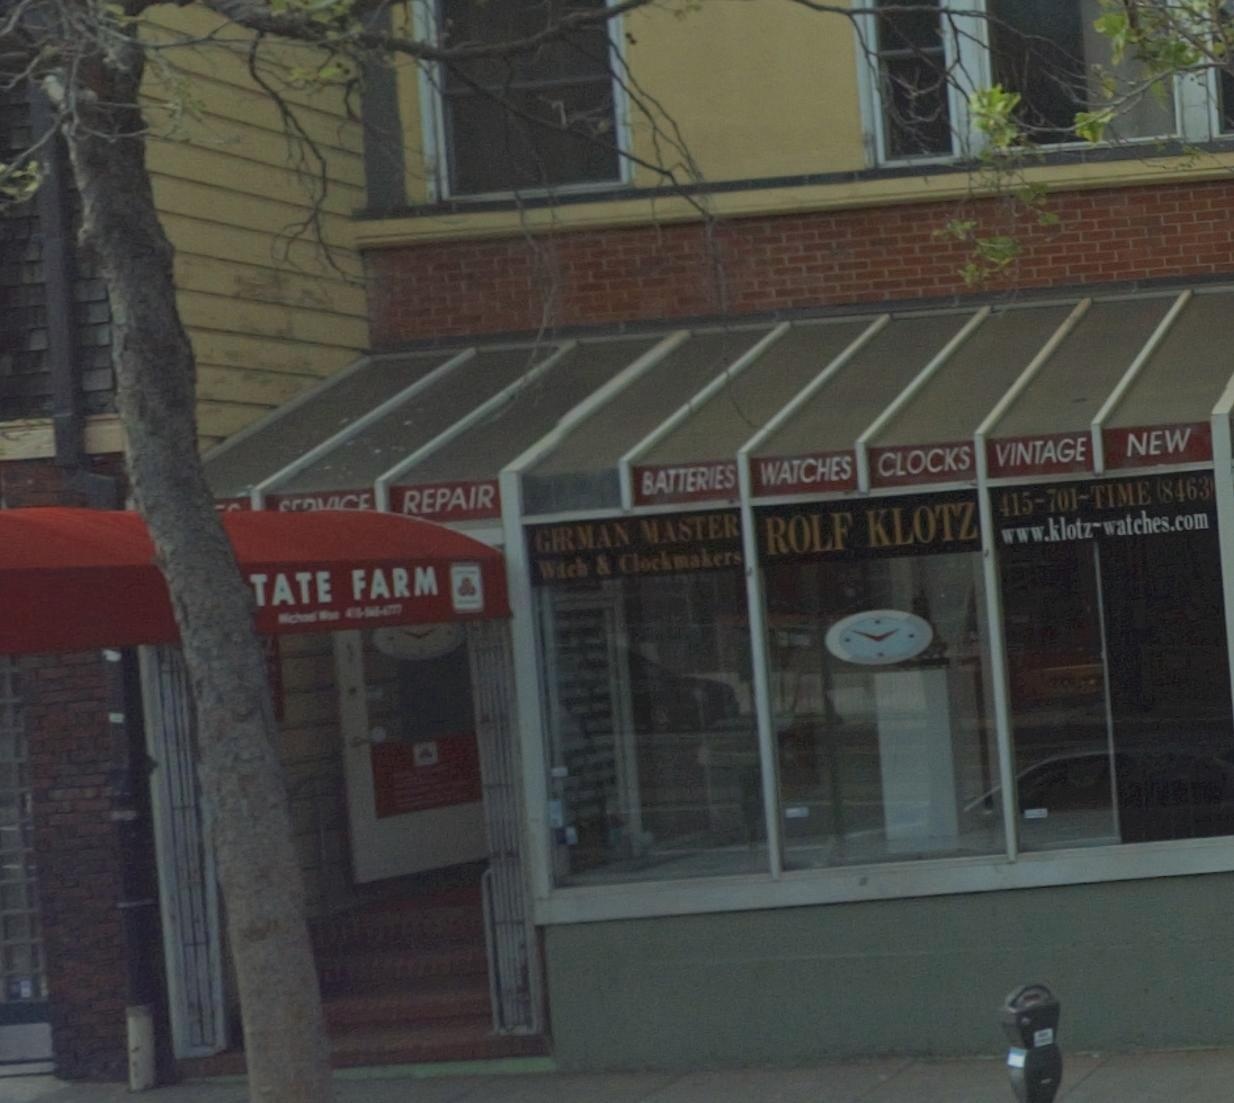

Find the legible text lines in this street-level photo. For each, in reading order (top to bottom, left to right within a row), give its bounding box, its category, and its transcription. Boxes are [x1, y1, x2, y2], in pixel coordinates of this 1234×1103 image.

[400, 481, 498, 517] None: REPAIR
[638, 461, 740, 500] None: BATTERIES
[756, 452, 856, 492] None: WATCHES
[874, 443, 974, 480] None: CLOCKS
[991, 434, 1090, 471] None: VINTAGE
[995, 471, 1216, 521] None: 415-701-TIME (8463)
[1123, 425, 1196, 460] None: NEW
[532, 510, 744, 557] None: GERMAN MASTER
[763, 495, 985, 561] BusinessName: ROLF KLOTZ
[993, 507, 1212, 550] None: www.klotz-watches.com
[246, 562, 443, 609] None: TATE FARM
[531, 543, 747, 587] None: Watch & Clockmakers